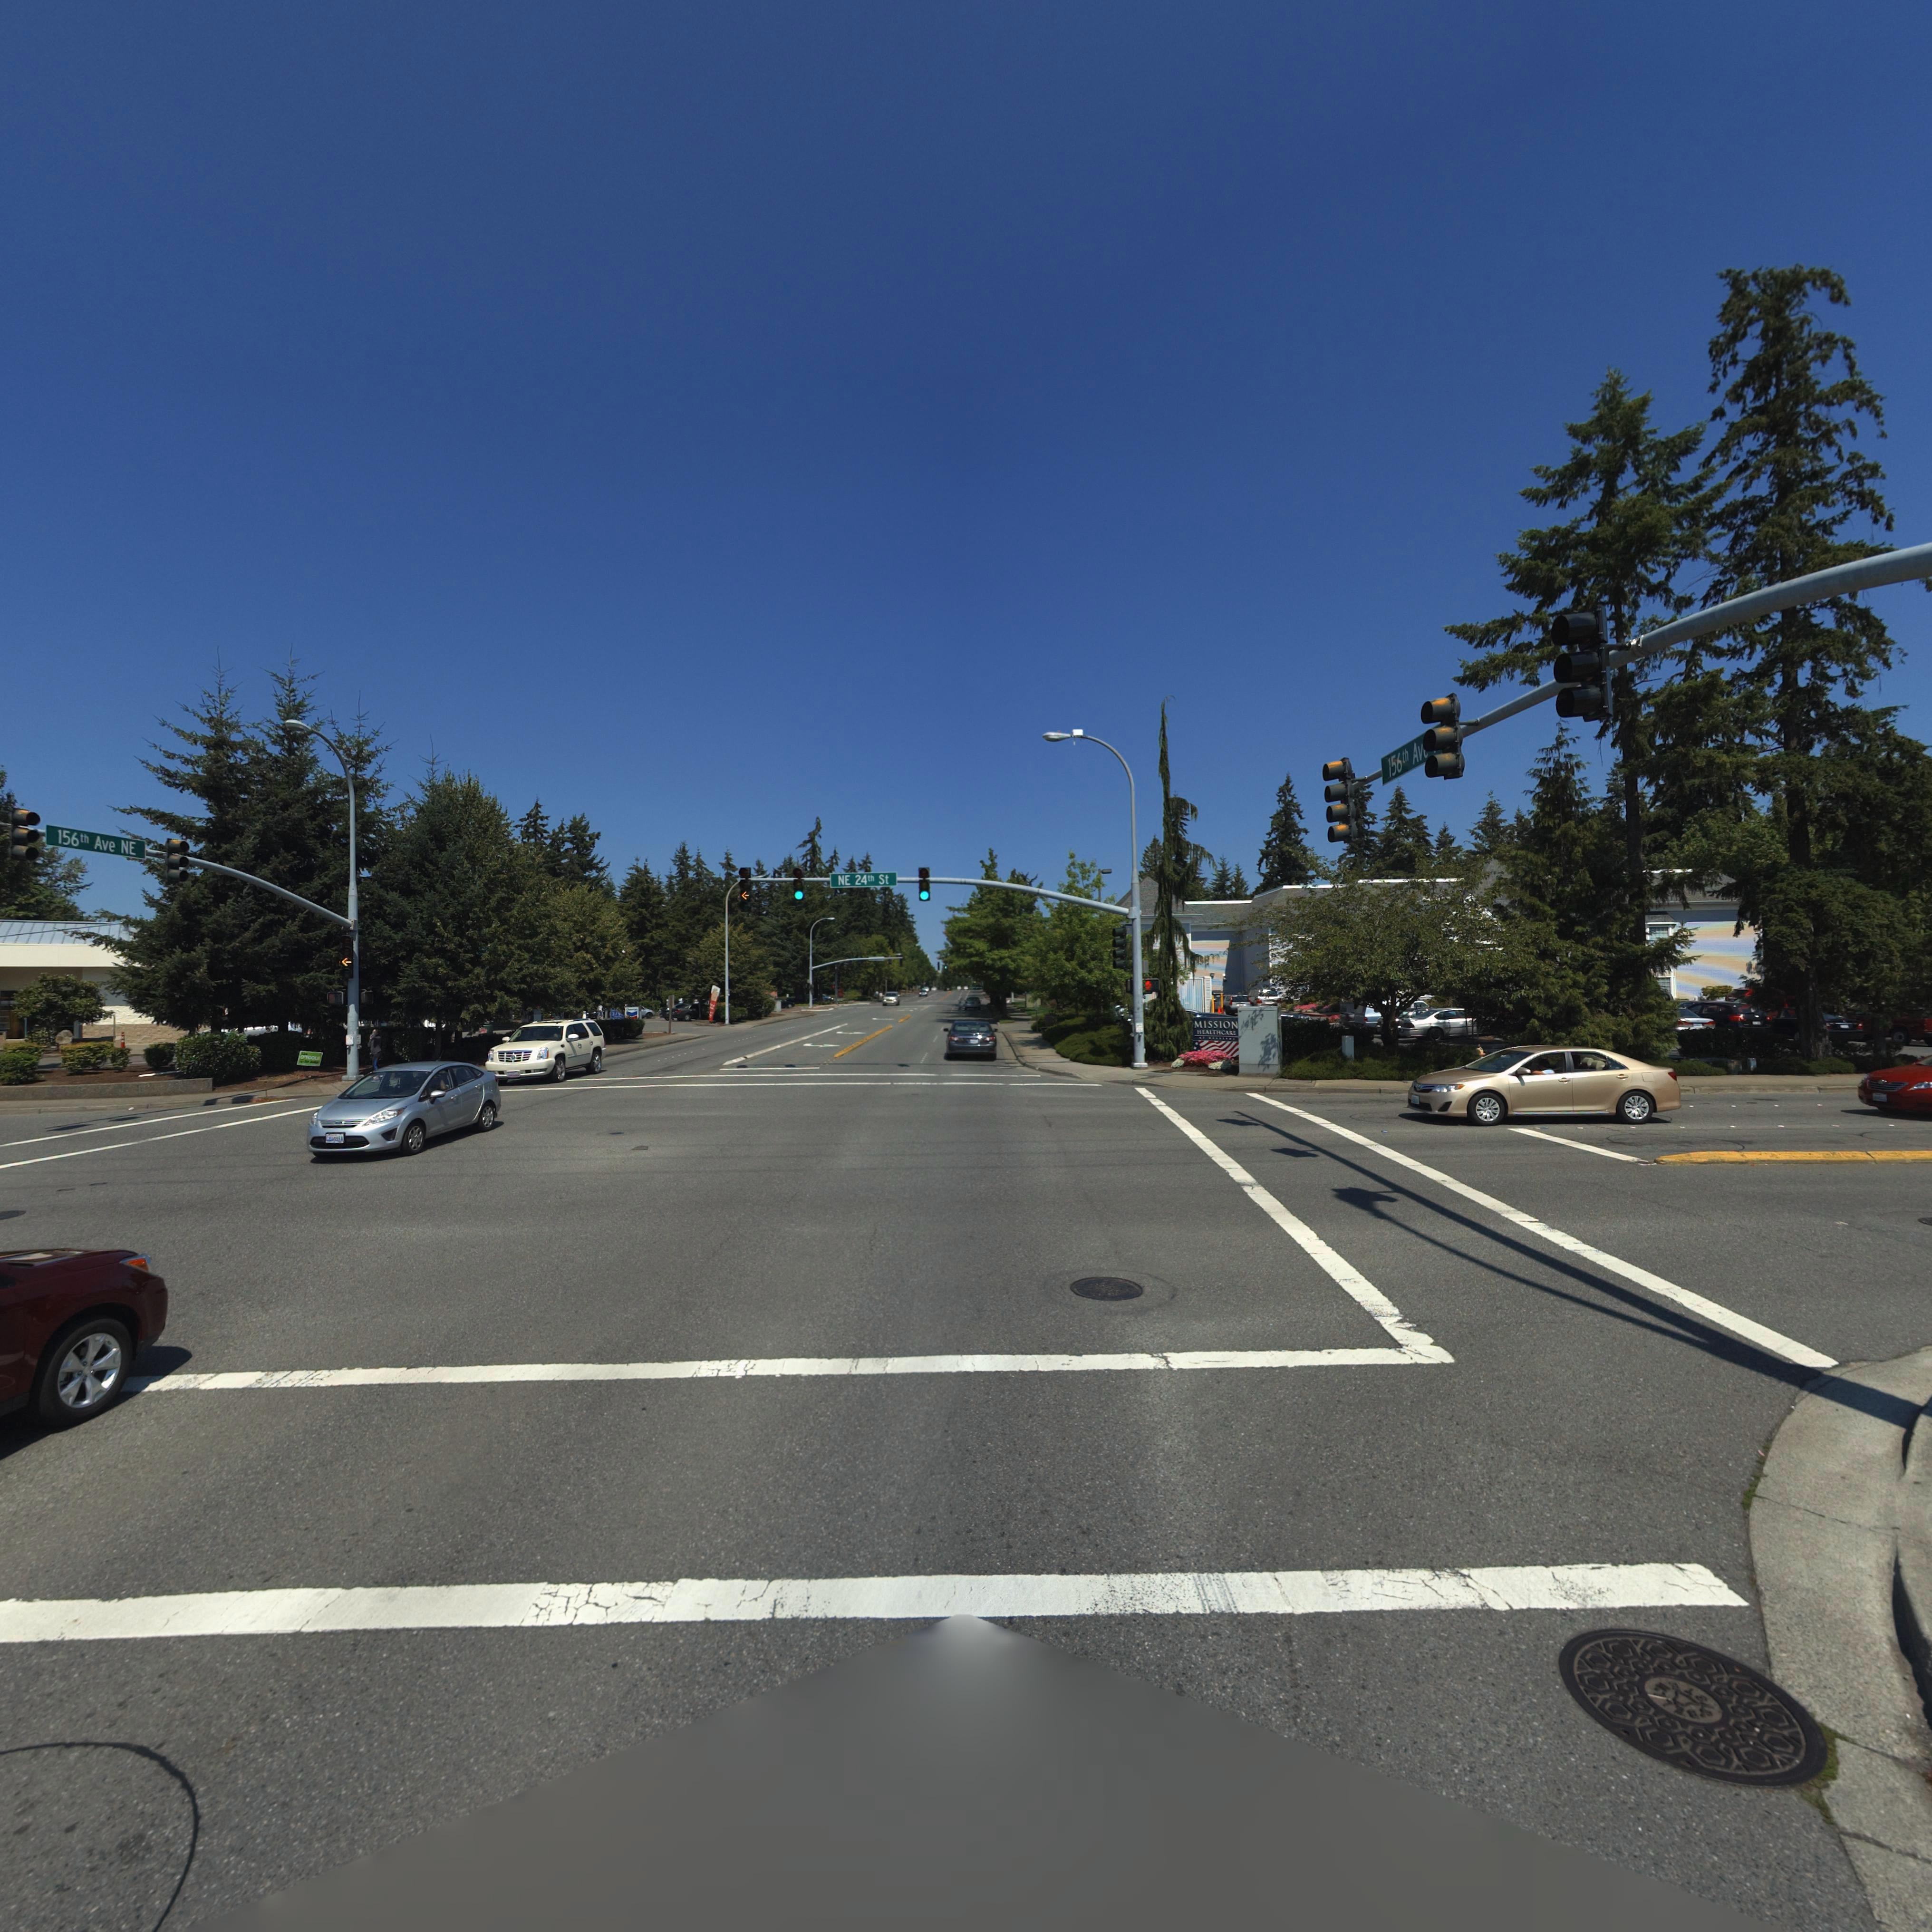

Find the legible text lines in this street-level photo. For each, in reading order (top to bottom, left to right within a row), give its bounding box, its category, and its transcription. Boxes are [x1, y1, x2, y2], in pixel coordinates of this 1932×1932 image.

[1387, 738, 1423, 779] StreetName: 156th Av
[58, 829, 136, 856] StreetName: 156th Ave NE
[839, 875, 889, 885] StreetName: NE 24th St
[1194, 1021, 1237, 1028] BusinessName: MISSION
[1196, 1029, 1236, 1035] BusinessName: HEALTHCARE